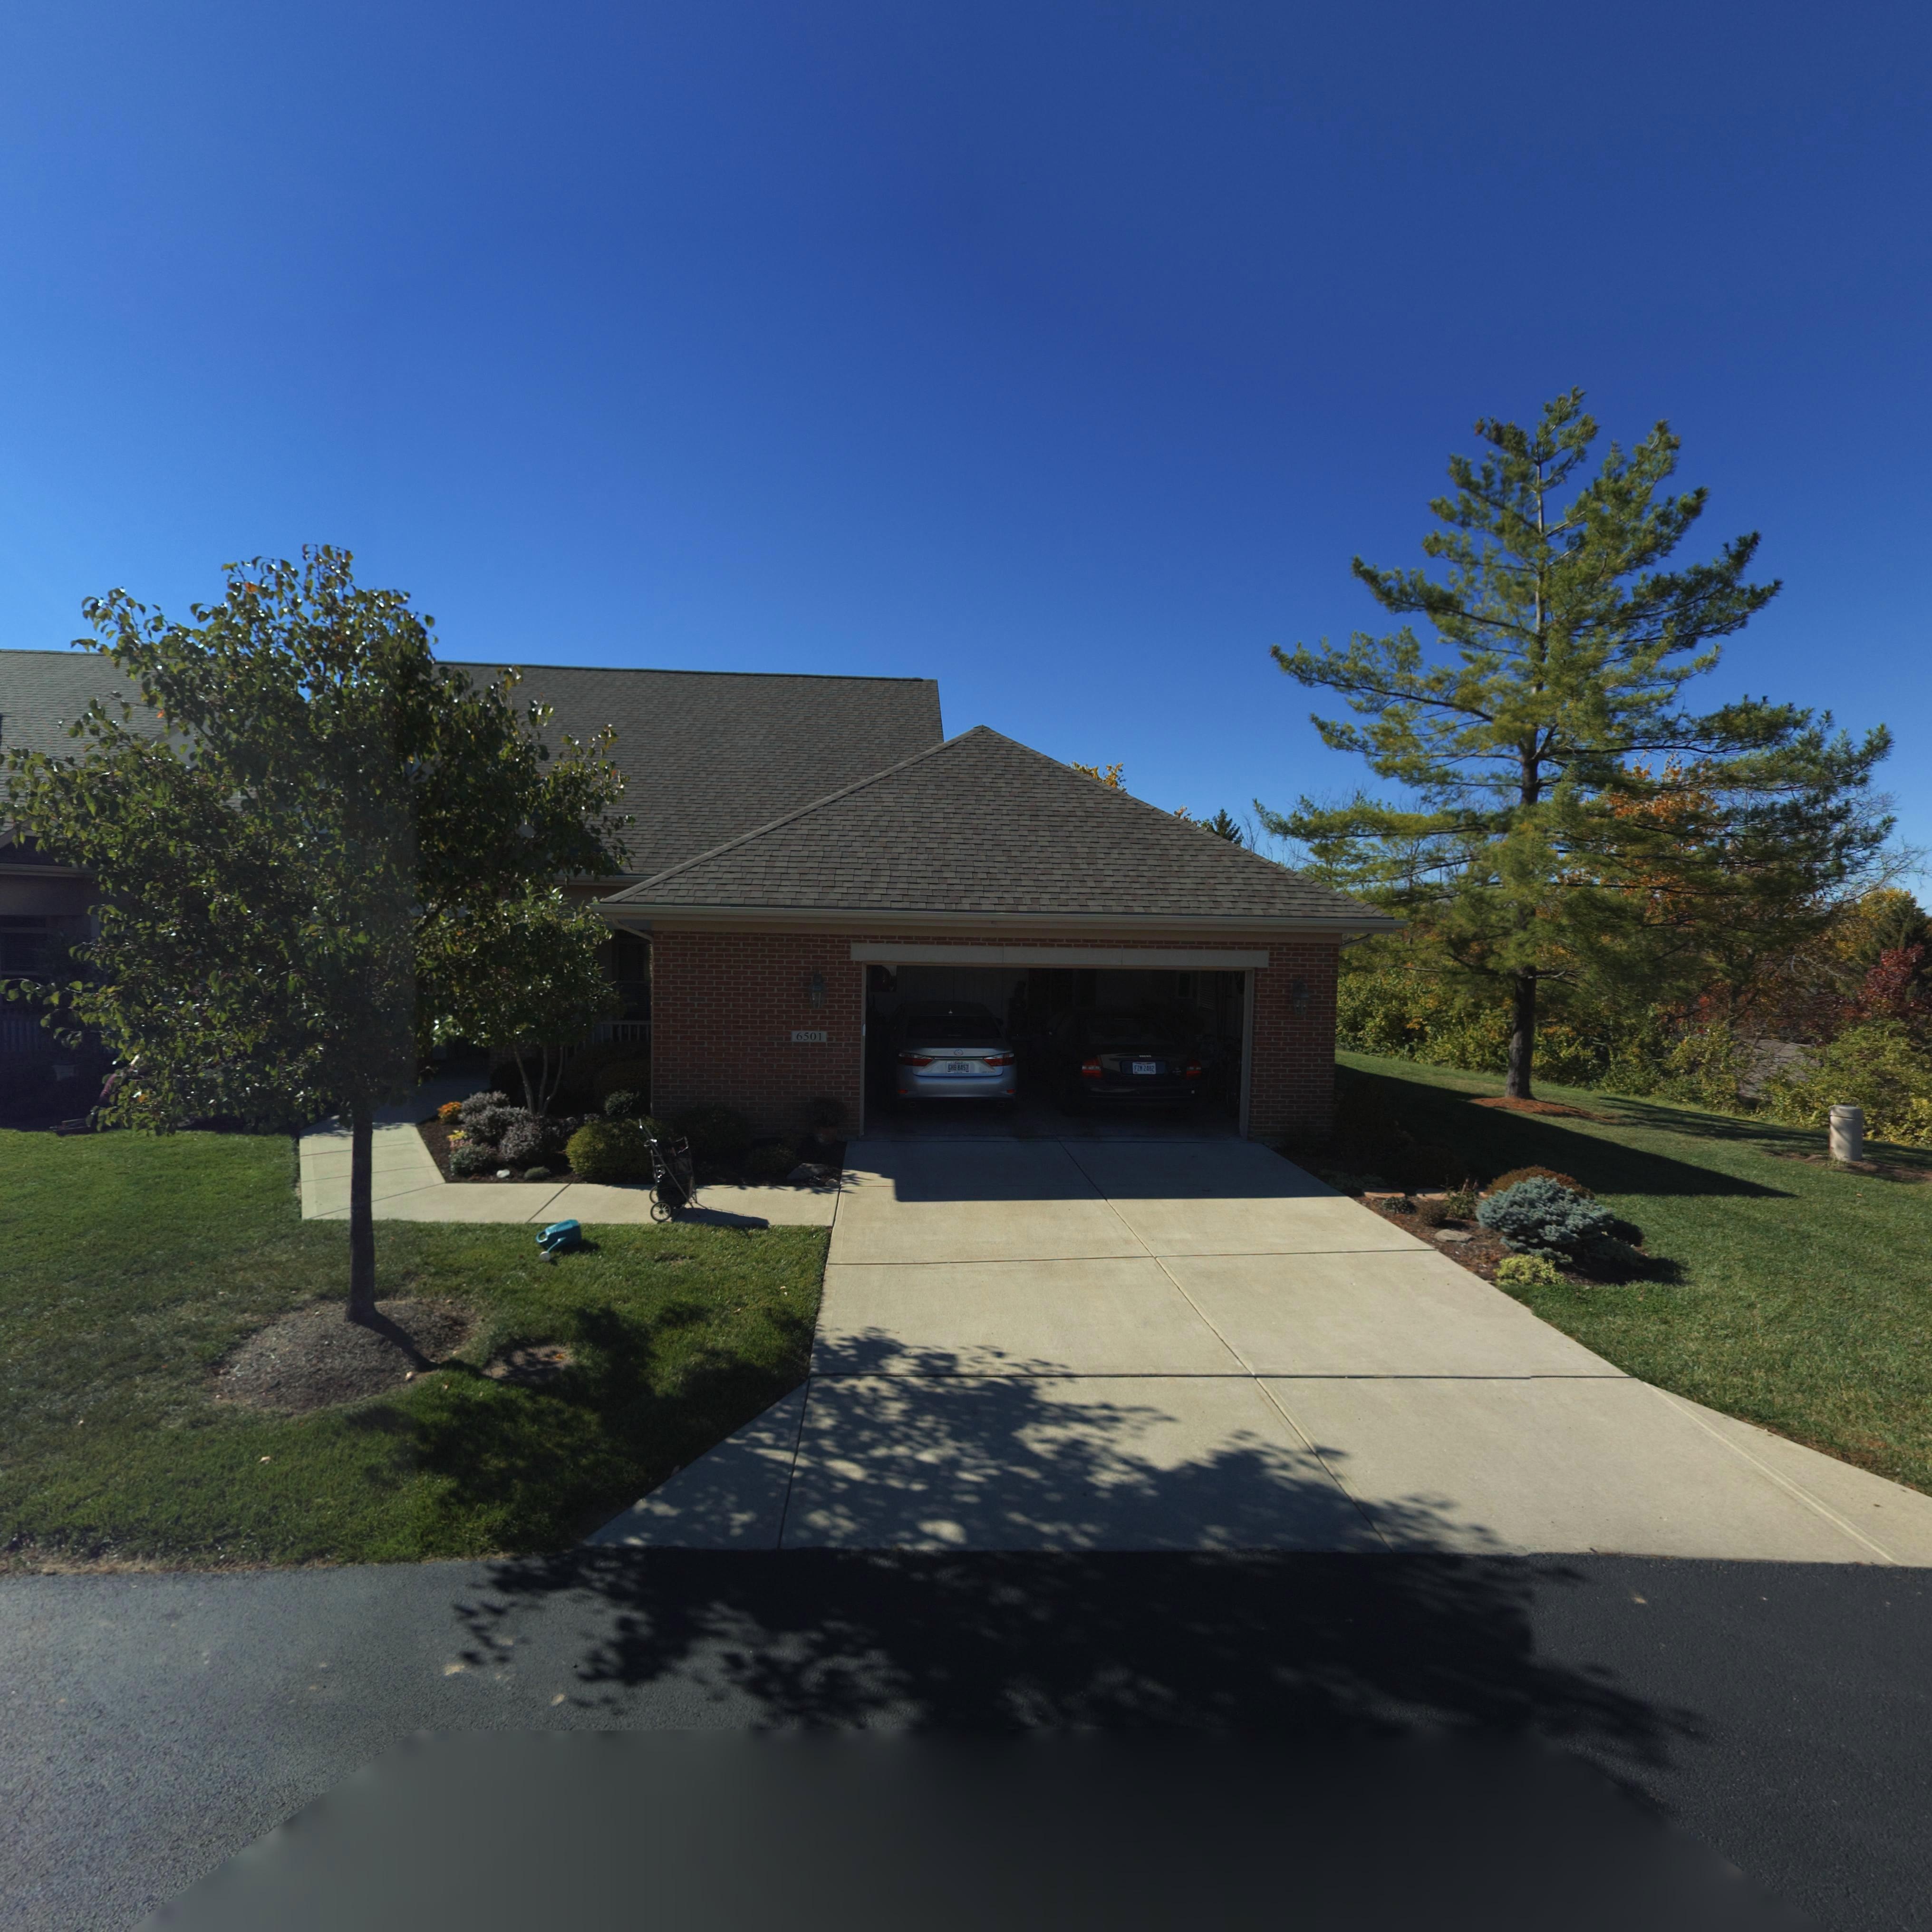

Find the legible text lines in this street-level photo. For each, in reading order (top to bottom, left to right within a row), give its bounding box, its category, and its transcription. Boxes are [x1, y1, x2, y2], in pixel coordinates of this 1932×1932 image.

[795, 1032, 822, 1041] StreetNumber: 6501